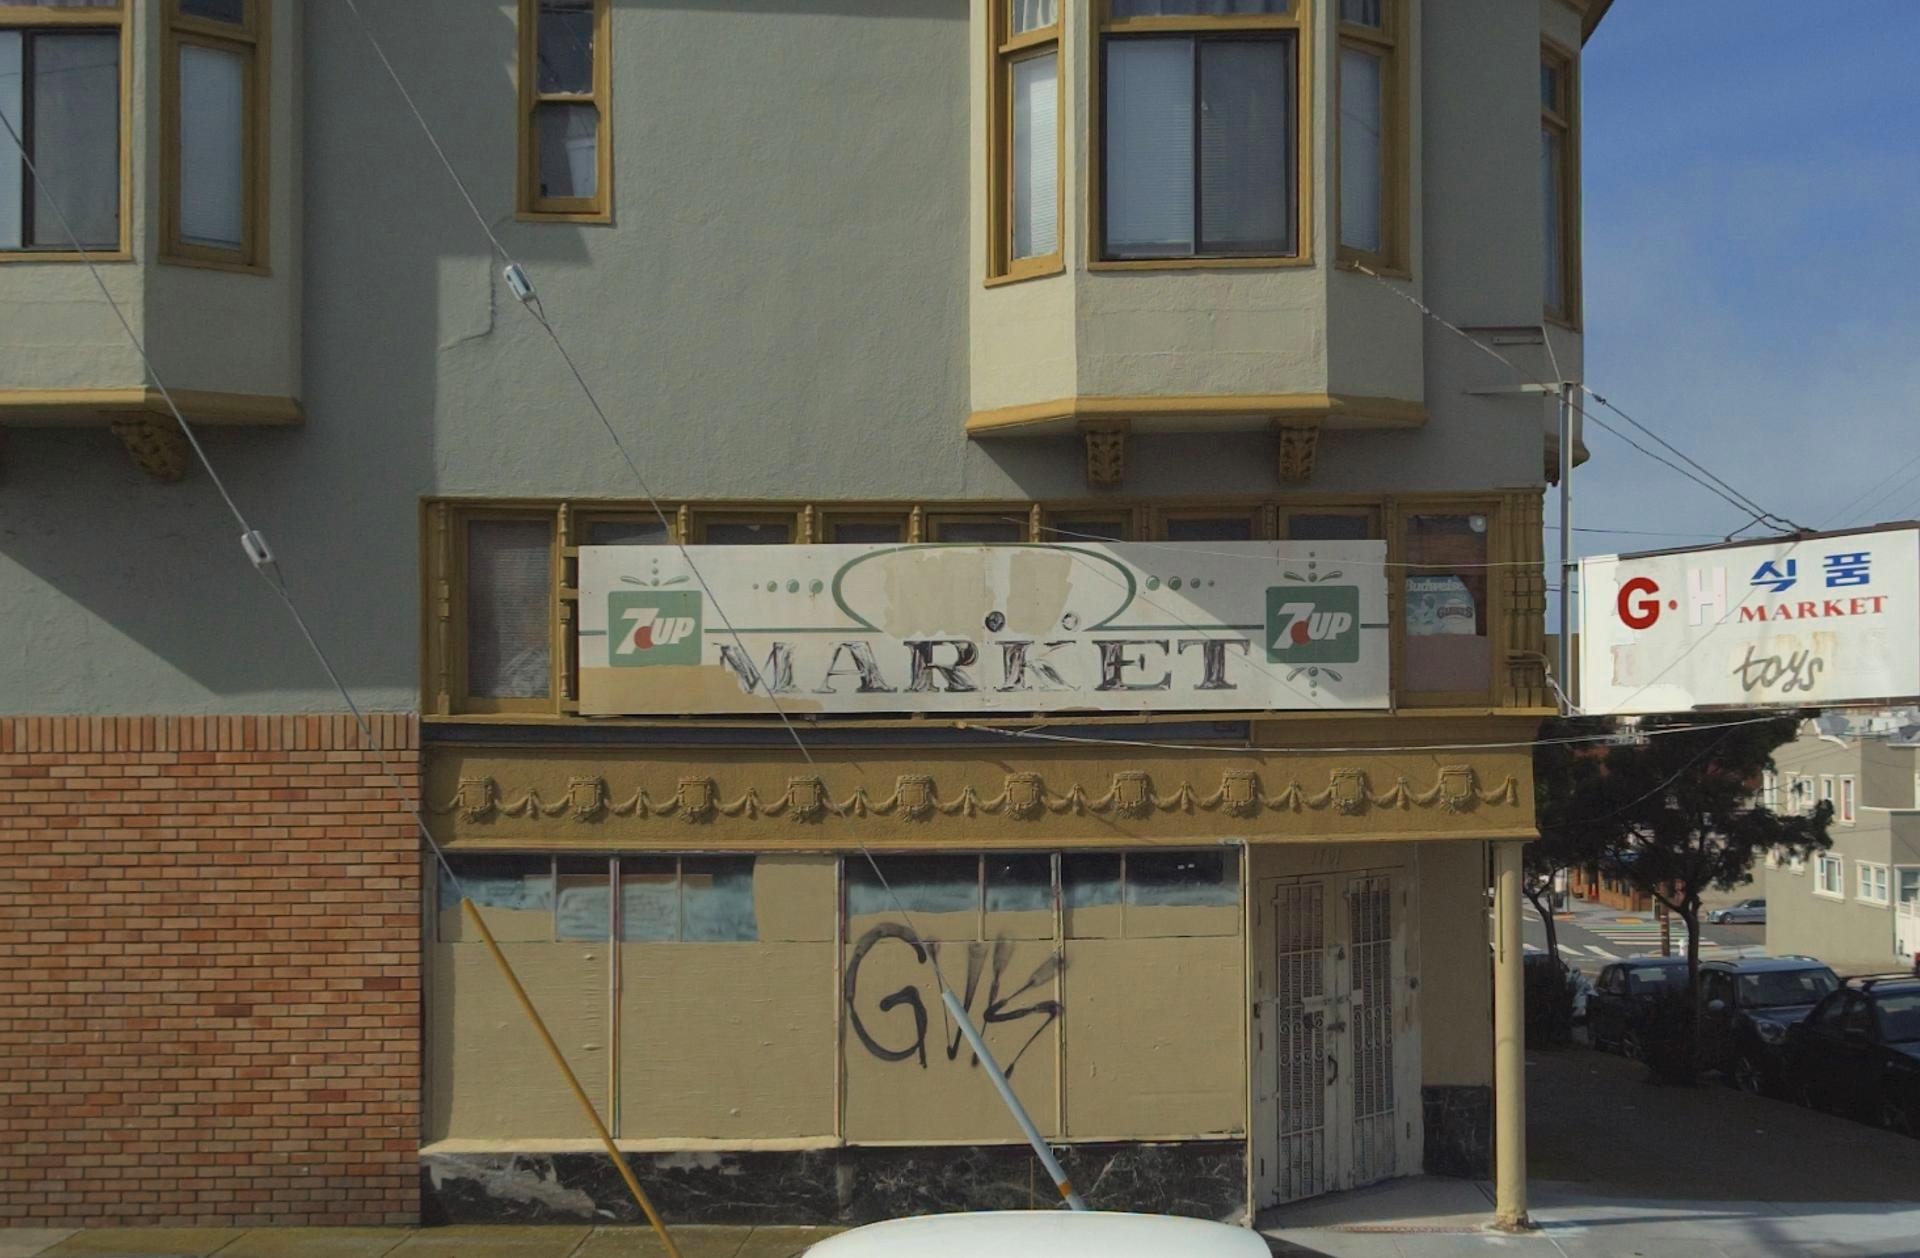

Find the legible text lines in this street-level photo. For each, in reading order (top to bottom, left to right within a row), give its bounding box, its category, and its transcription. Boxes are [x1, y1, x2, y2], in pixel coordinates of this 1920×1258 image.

[606, 596, 697, 659] None: 7UP
[1265, 596, 1355, 655] None: 7UP
[1404, 576, 1470, 598] None: *udweise
[1610, 567, 1891, 641] BusinessName: G-H MARKET
[710, 635, 1252, 697] BusinessName: MARKET
[1725, 646, 1834, 705] None: toys
[832, 912, 1083, 1092] None: G*S